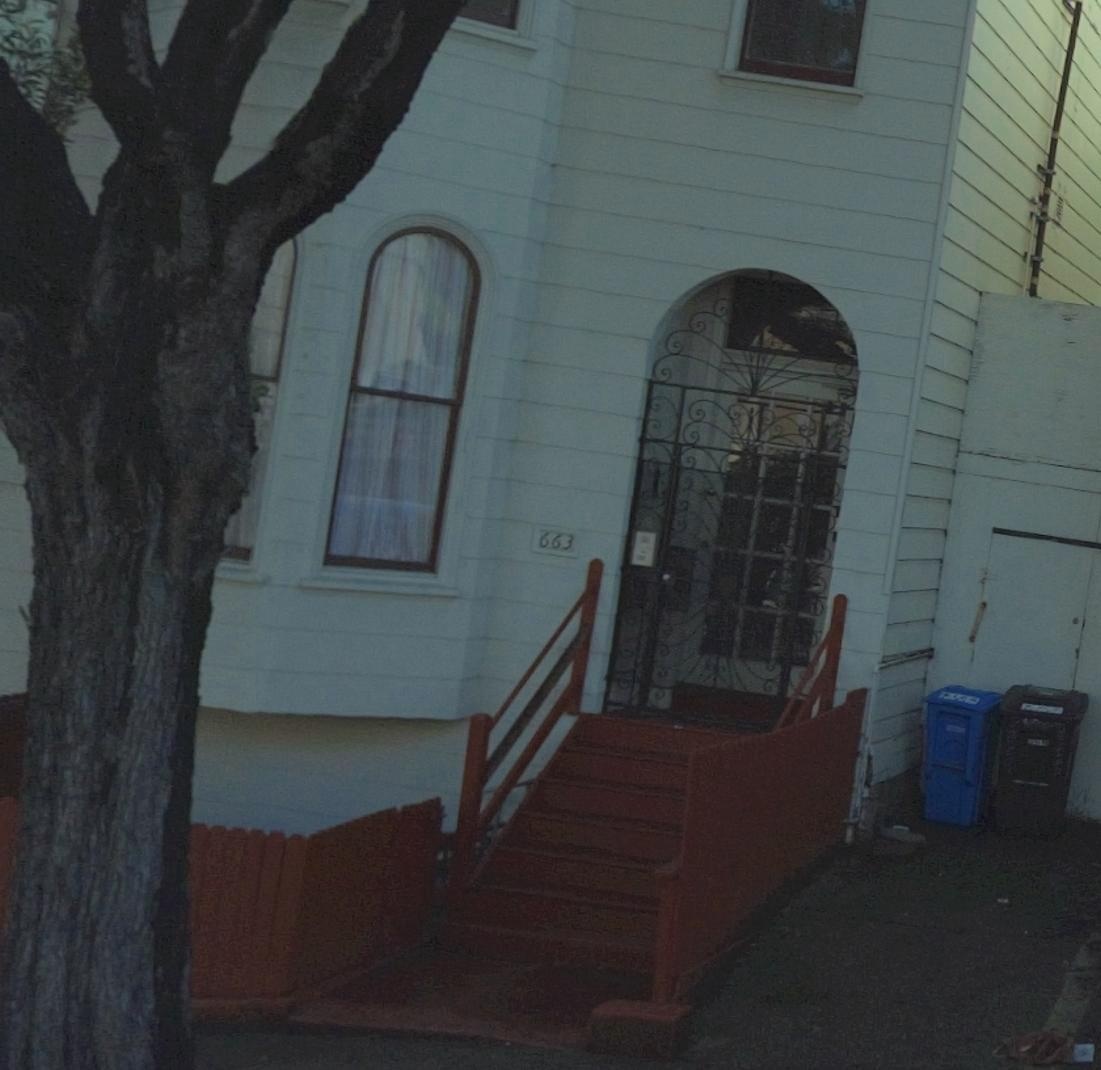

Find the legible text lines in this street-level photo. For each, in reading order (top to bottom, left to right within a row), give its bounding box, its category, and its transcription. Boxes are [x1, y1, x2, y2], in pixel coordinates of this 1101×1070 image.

[535, 529, 580, 554] StreetNumber: 663